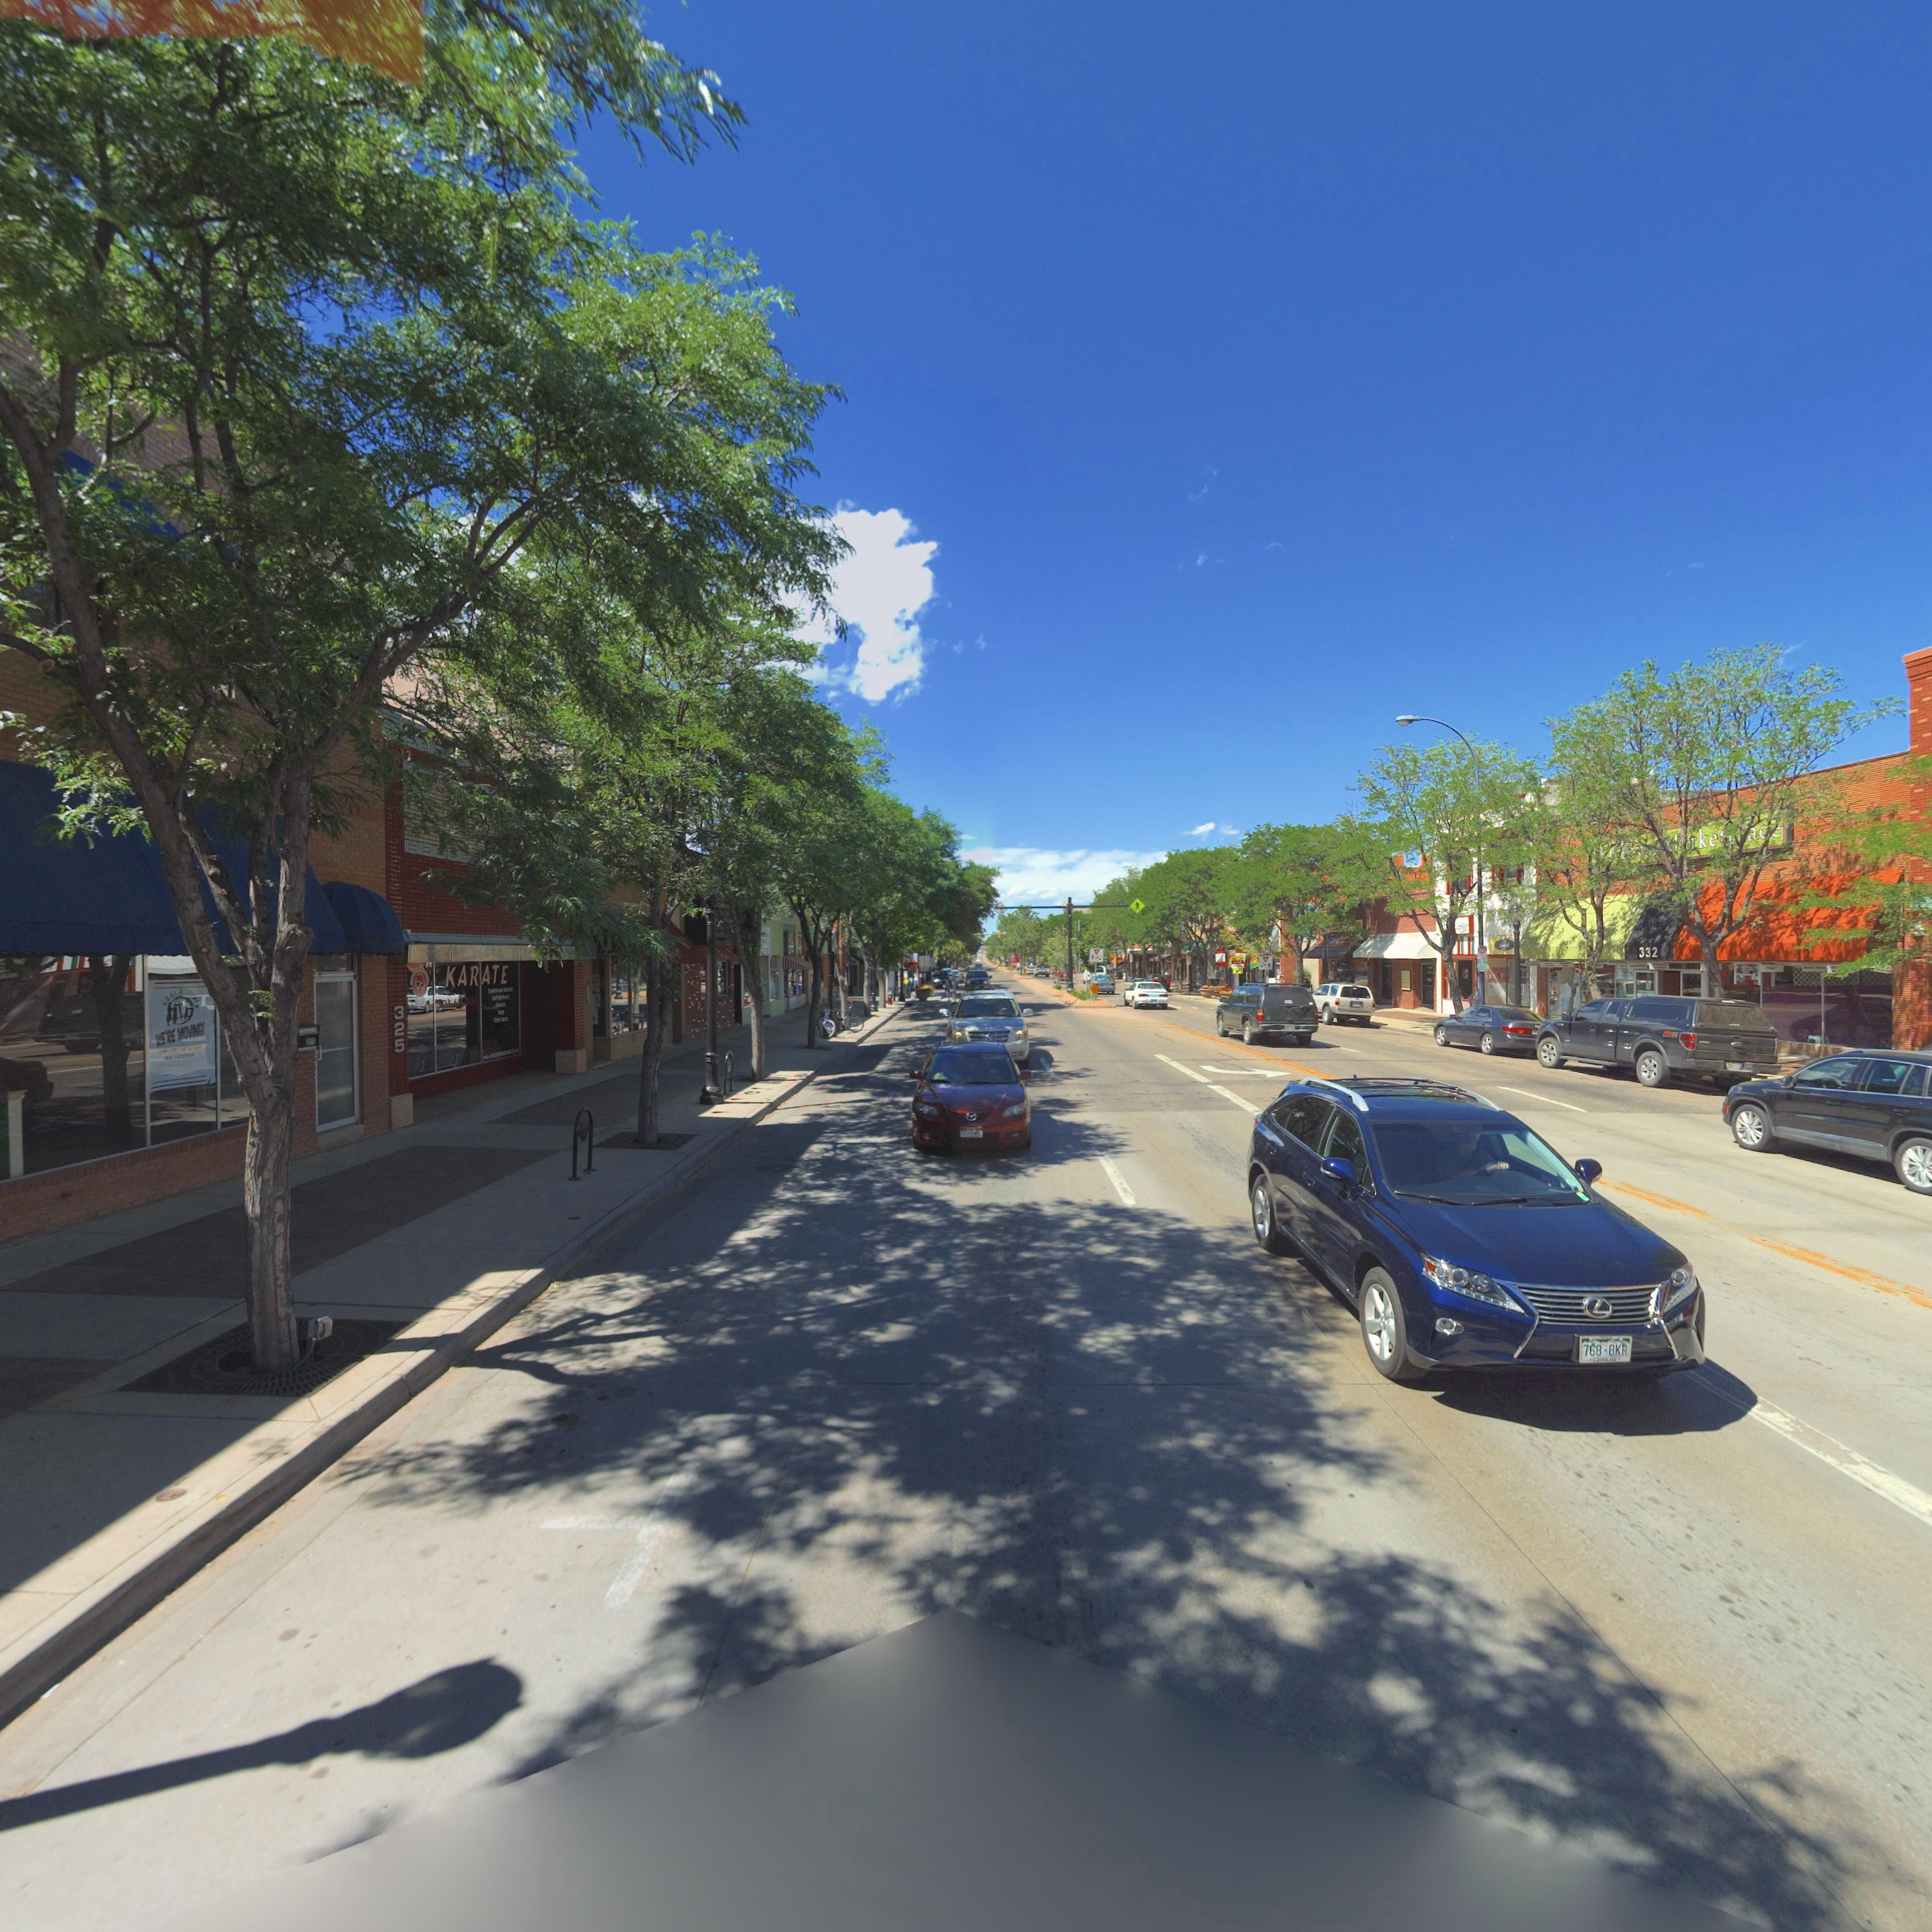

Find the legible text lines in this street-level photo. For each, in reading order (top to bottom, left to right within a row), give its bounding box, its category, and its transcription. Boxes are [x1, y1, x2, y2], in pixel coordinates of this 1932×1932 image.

[1661, 821, 1782, 854] BusinessName: **rke***ace
[1638, 946, 1657, 958] StreetNumber: 332
[444, 964, 509, 988] BusinessName: KARATE
[161, 987, 199, 1006] BusinessName: G*O*A*L ACADEMY
[393, 1005, 405, 1053] StreetNumber: 325
[306, 1038, 314, 1045] StreetNumber: 321